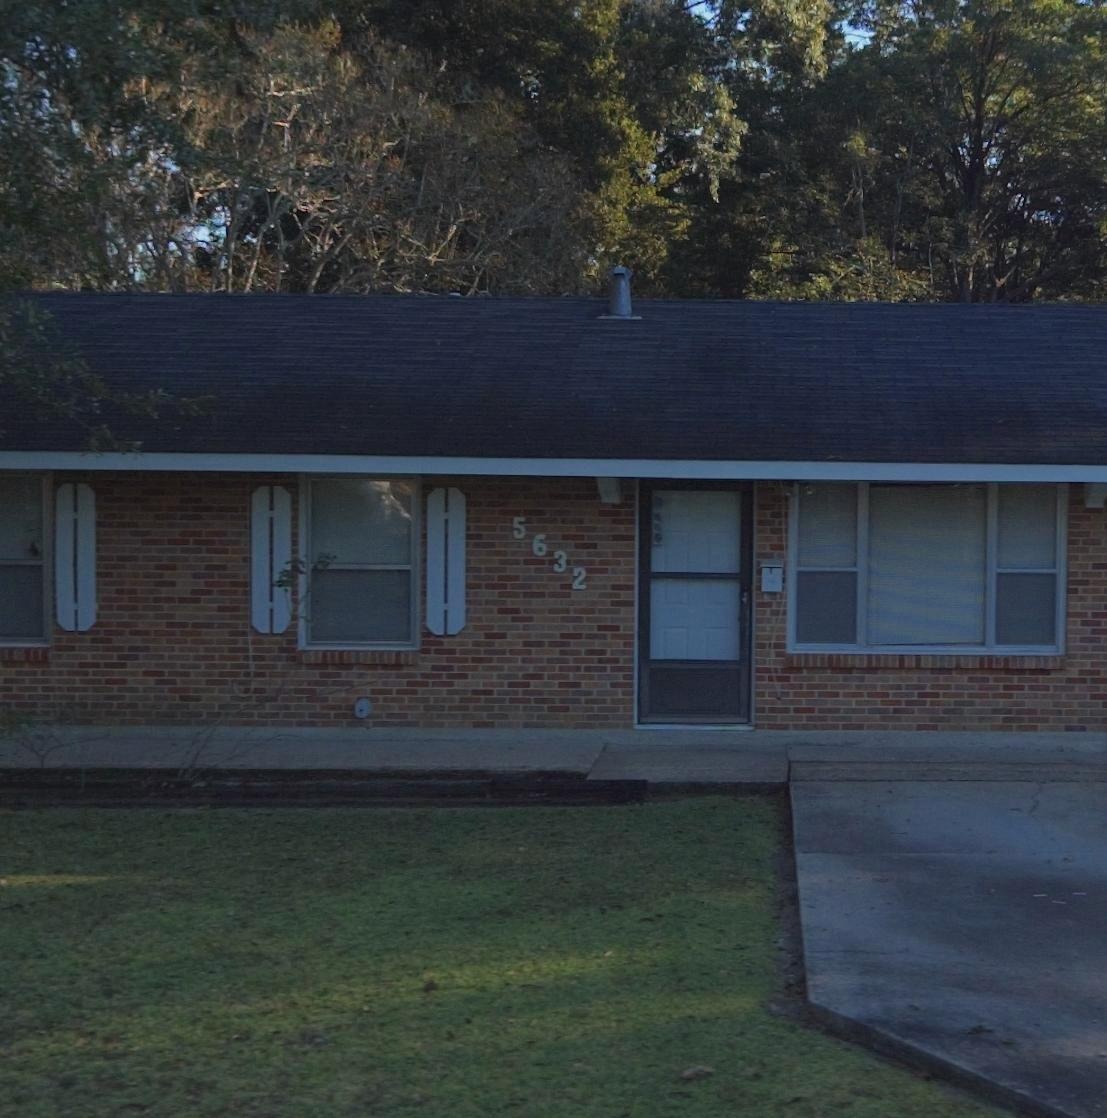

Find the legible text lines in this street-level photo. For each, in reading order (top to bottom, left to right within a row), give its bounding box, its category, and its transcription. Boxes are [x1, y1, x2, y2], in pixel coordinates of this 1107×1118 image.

[512, 514, 588, 595] StreetNumber: 5632